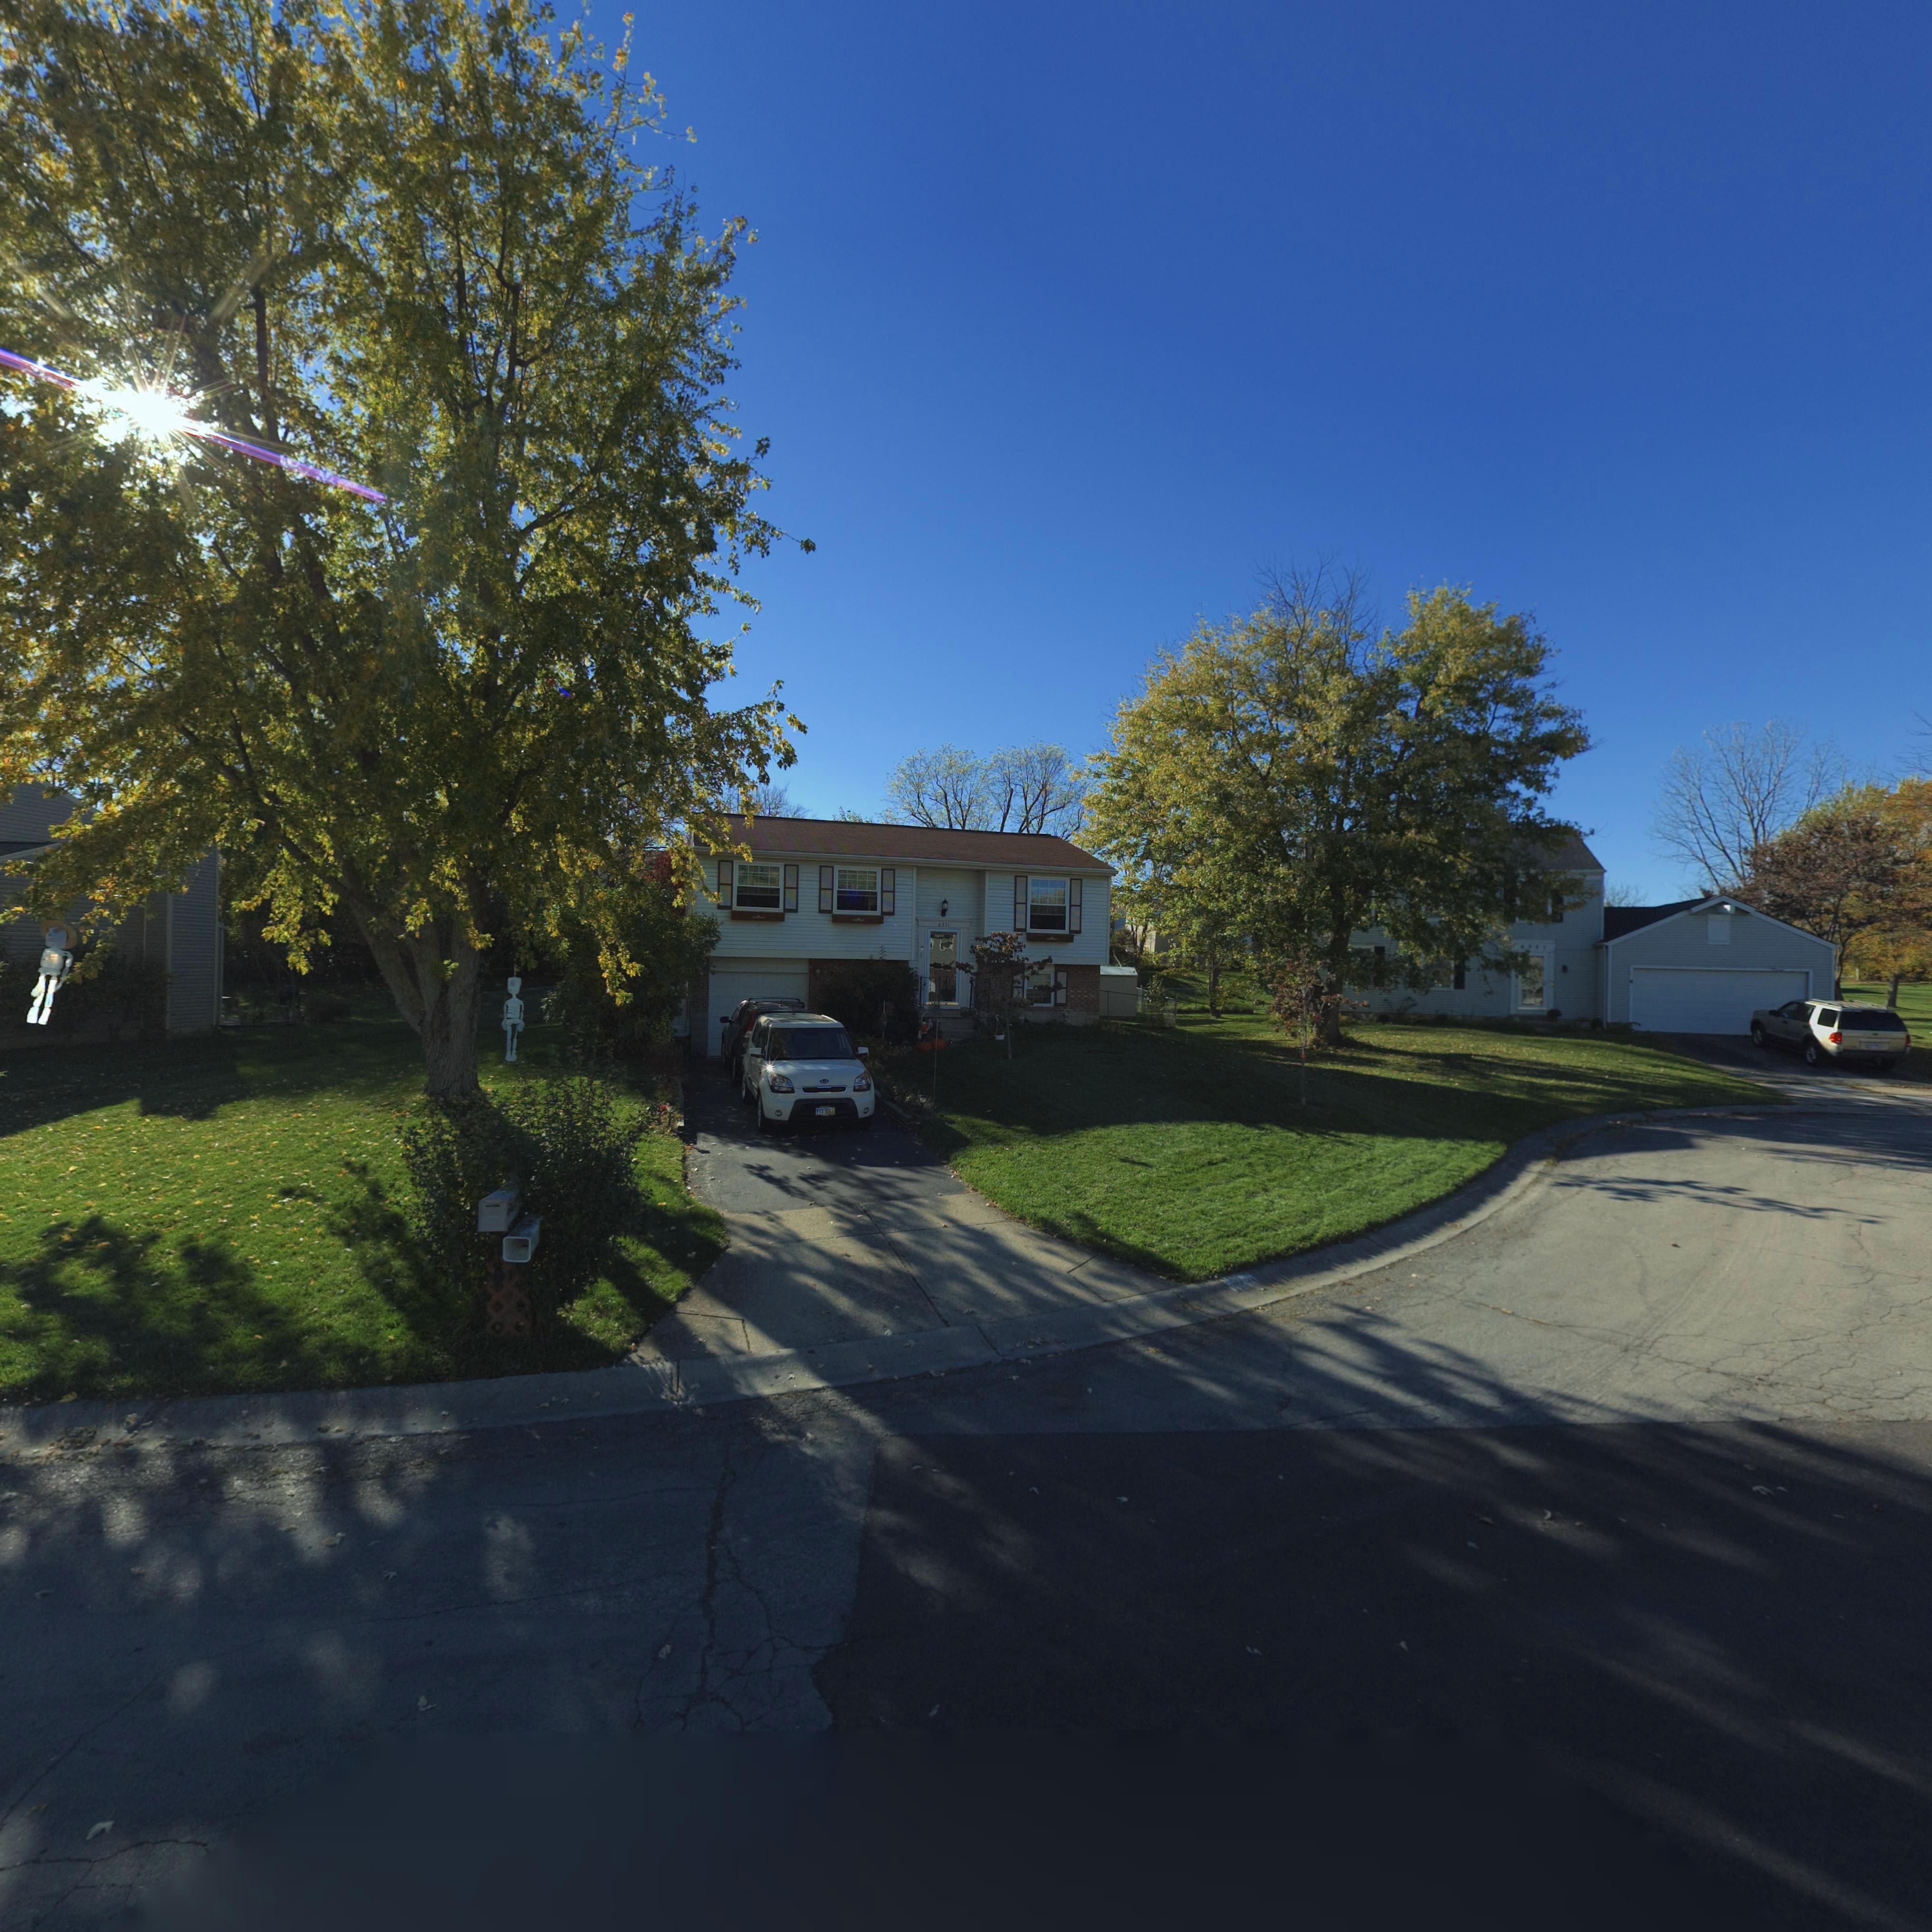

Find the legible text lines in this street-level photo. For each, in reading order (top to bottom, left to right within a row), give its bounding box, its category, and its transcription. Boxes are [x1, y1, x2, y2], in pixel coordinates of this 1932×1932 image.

[937, 921, 950, 928] StreetNumber: 633*